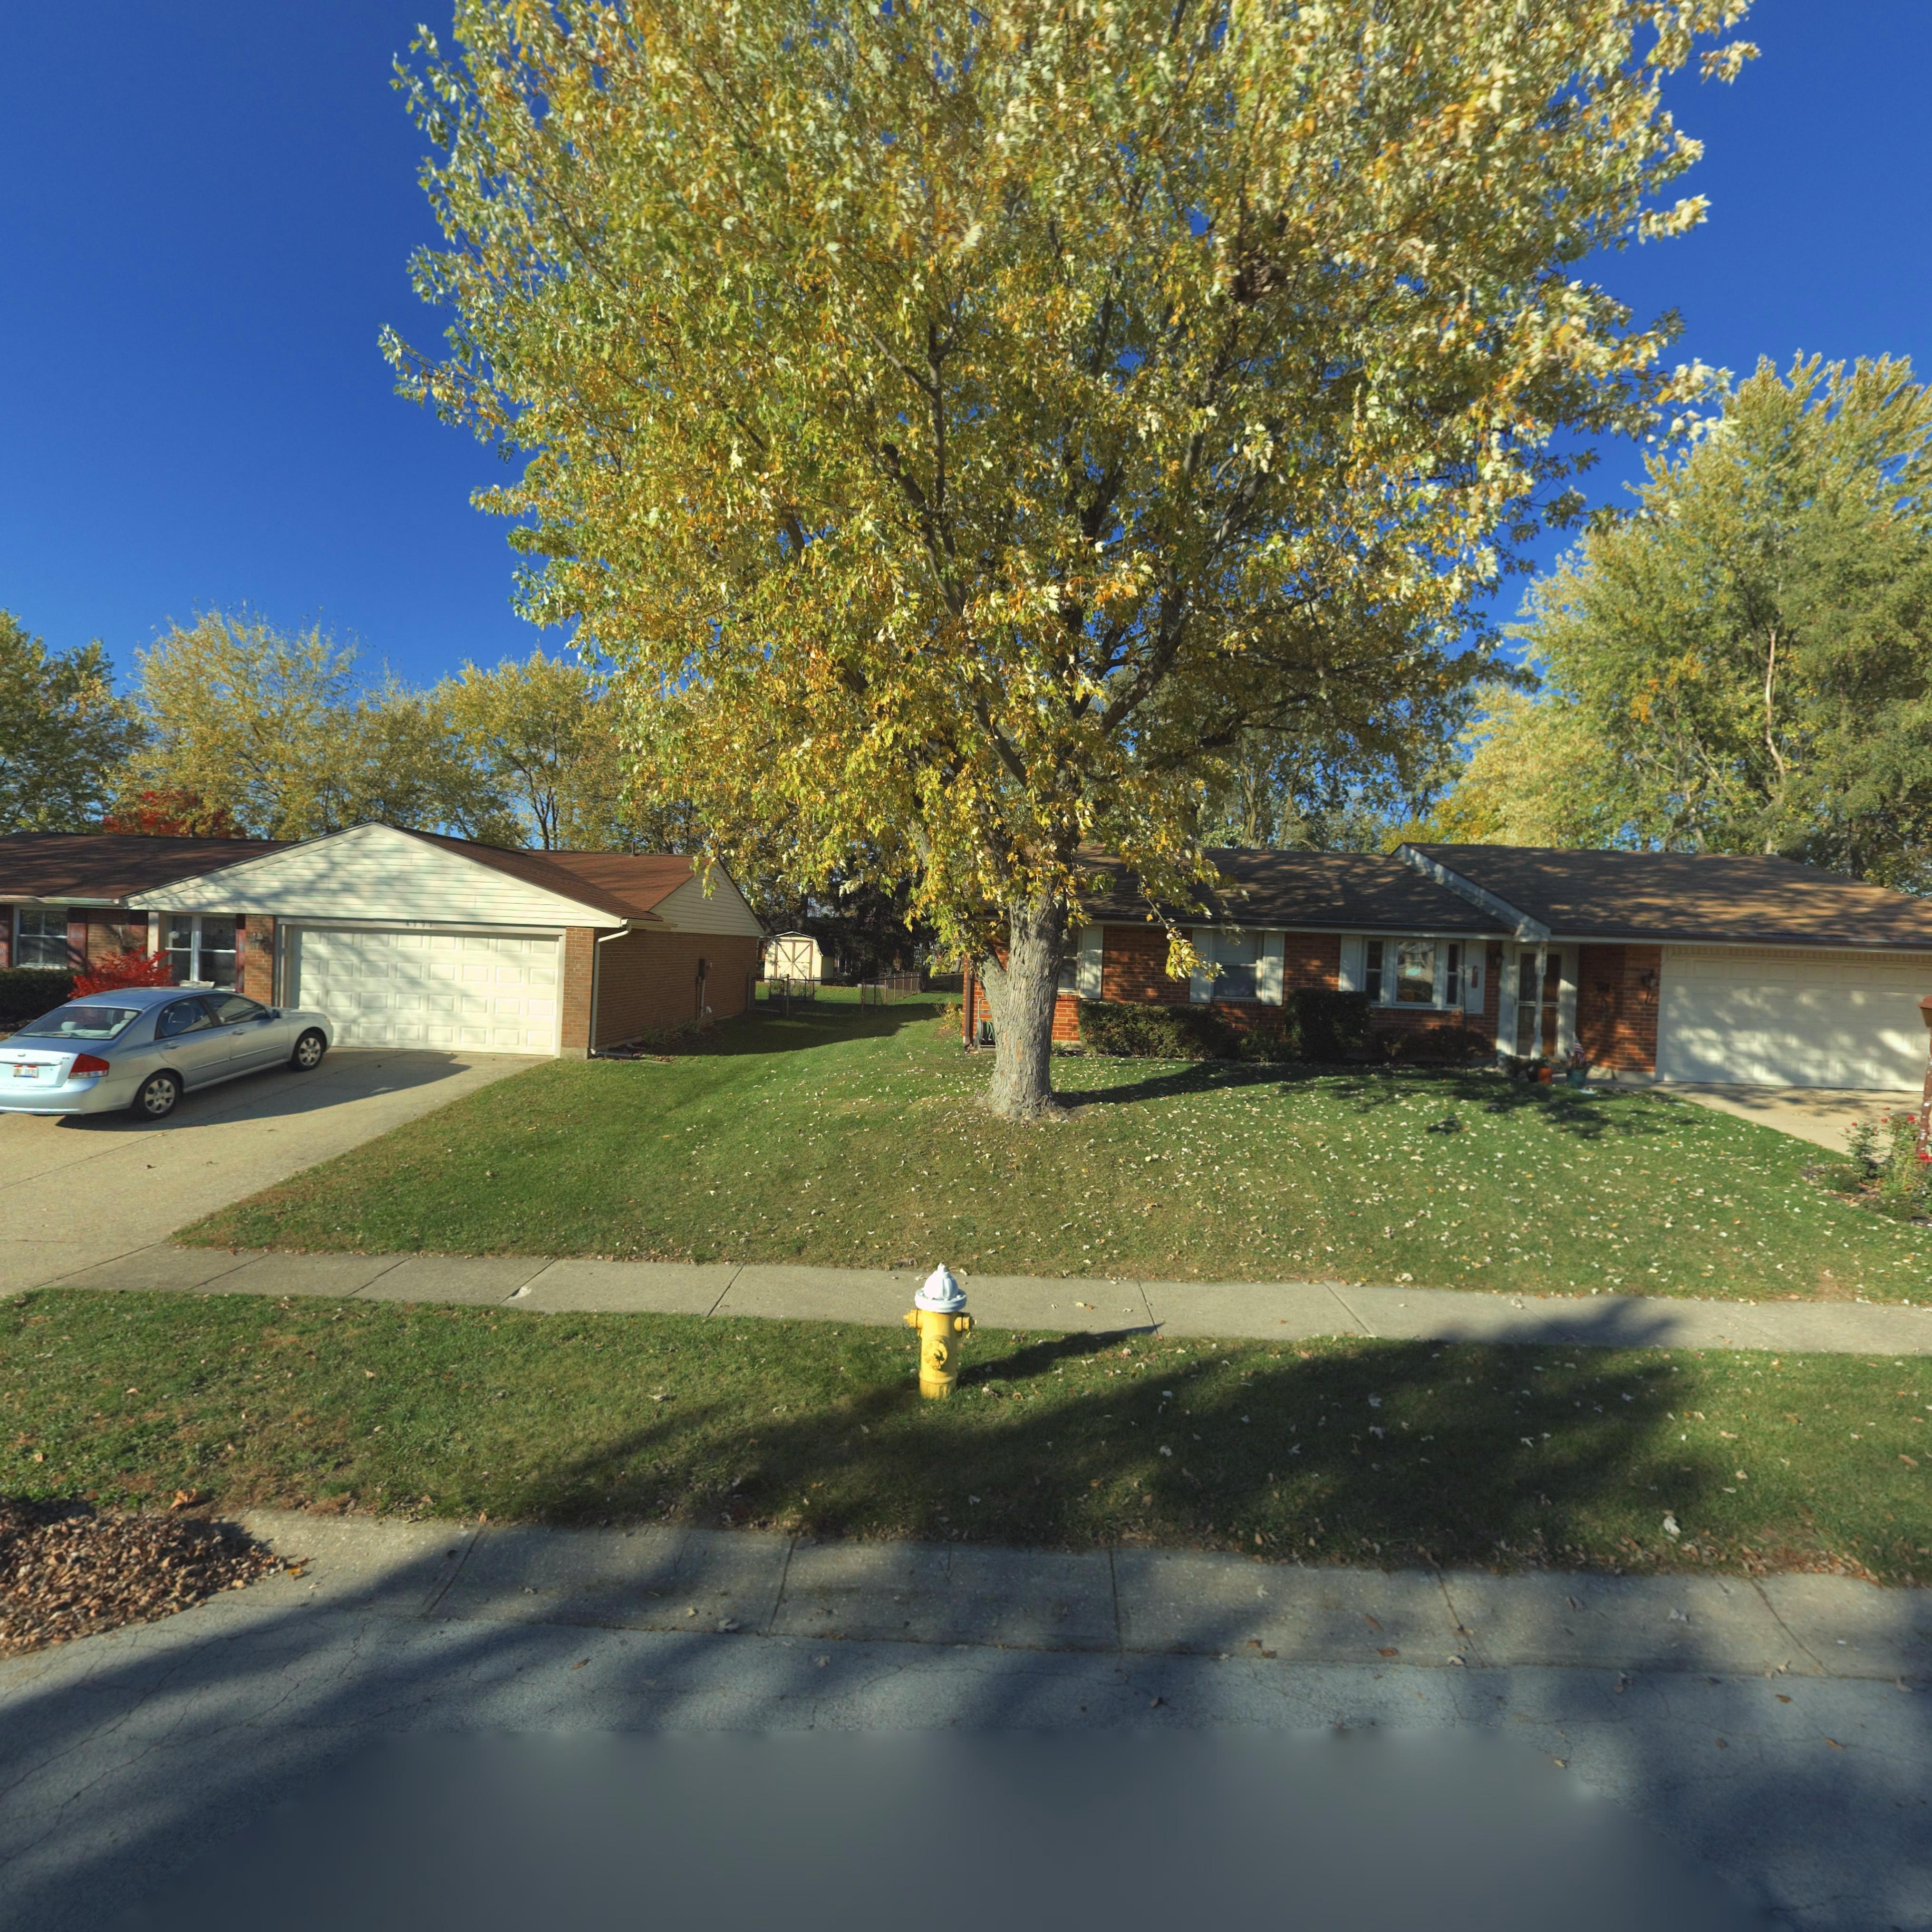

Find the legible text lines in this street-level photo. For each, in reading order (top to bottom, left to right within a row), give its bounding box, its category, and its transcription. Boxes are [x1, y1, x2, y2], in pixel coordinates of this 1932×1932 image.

[404, 919, 434, 929] StreetNumber: 4991
[1540, 945, 1547, 976] StreetNumber: **81